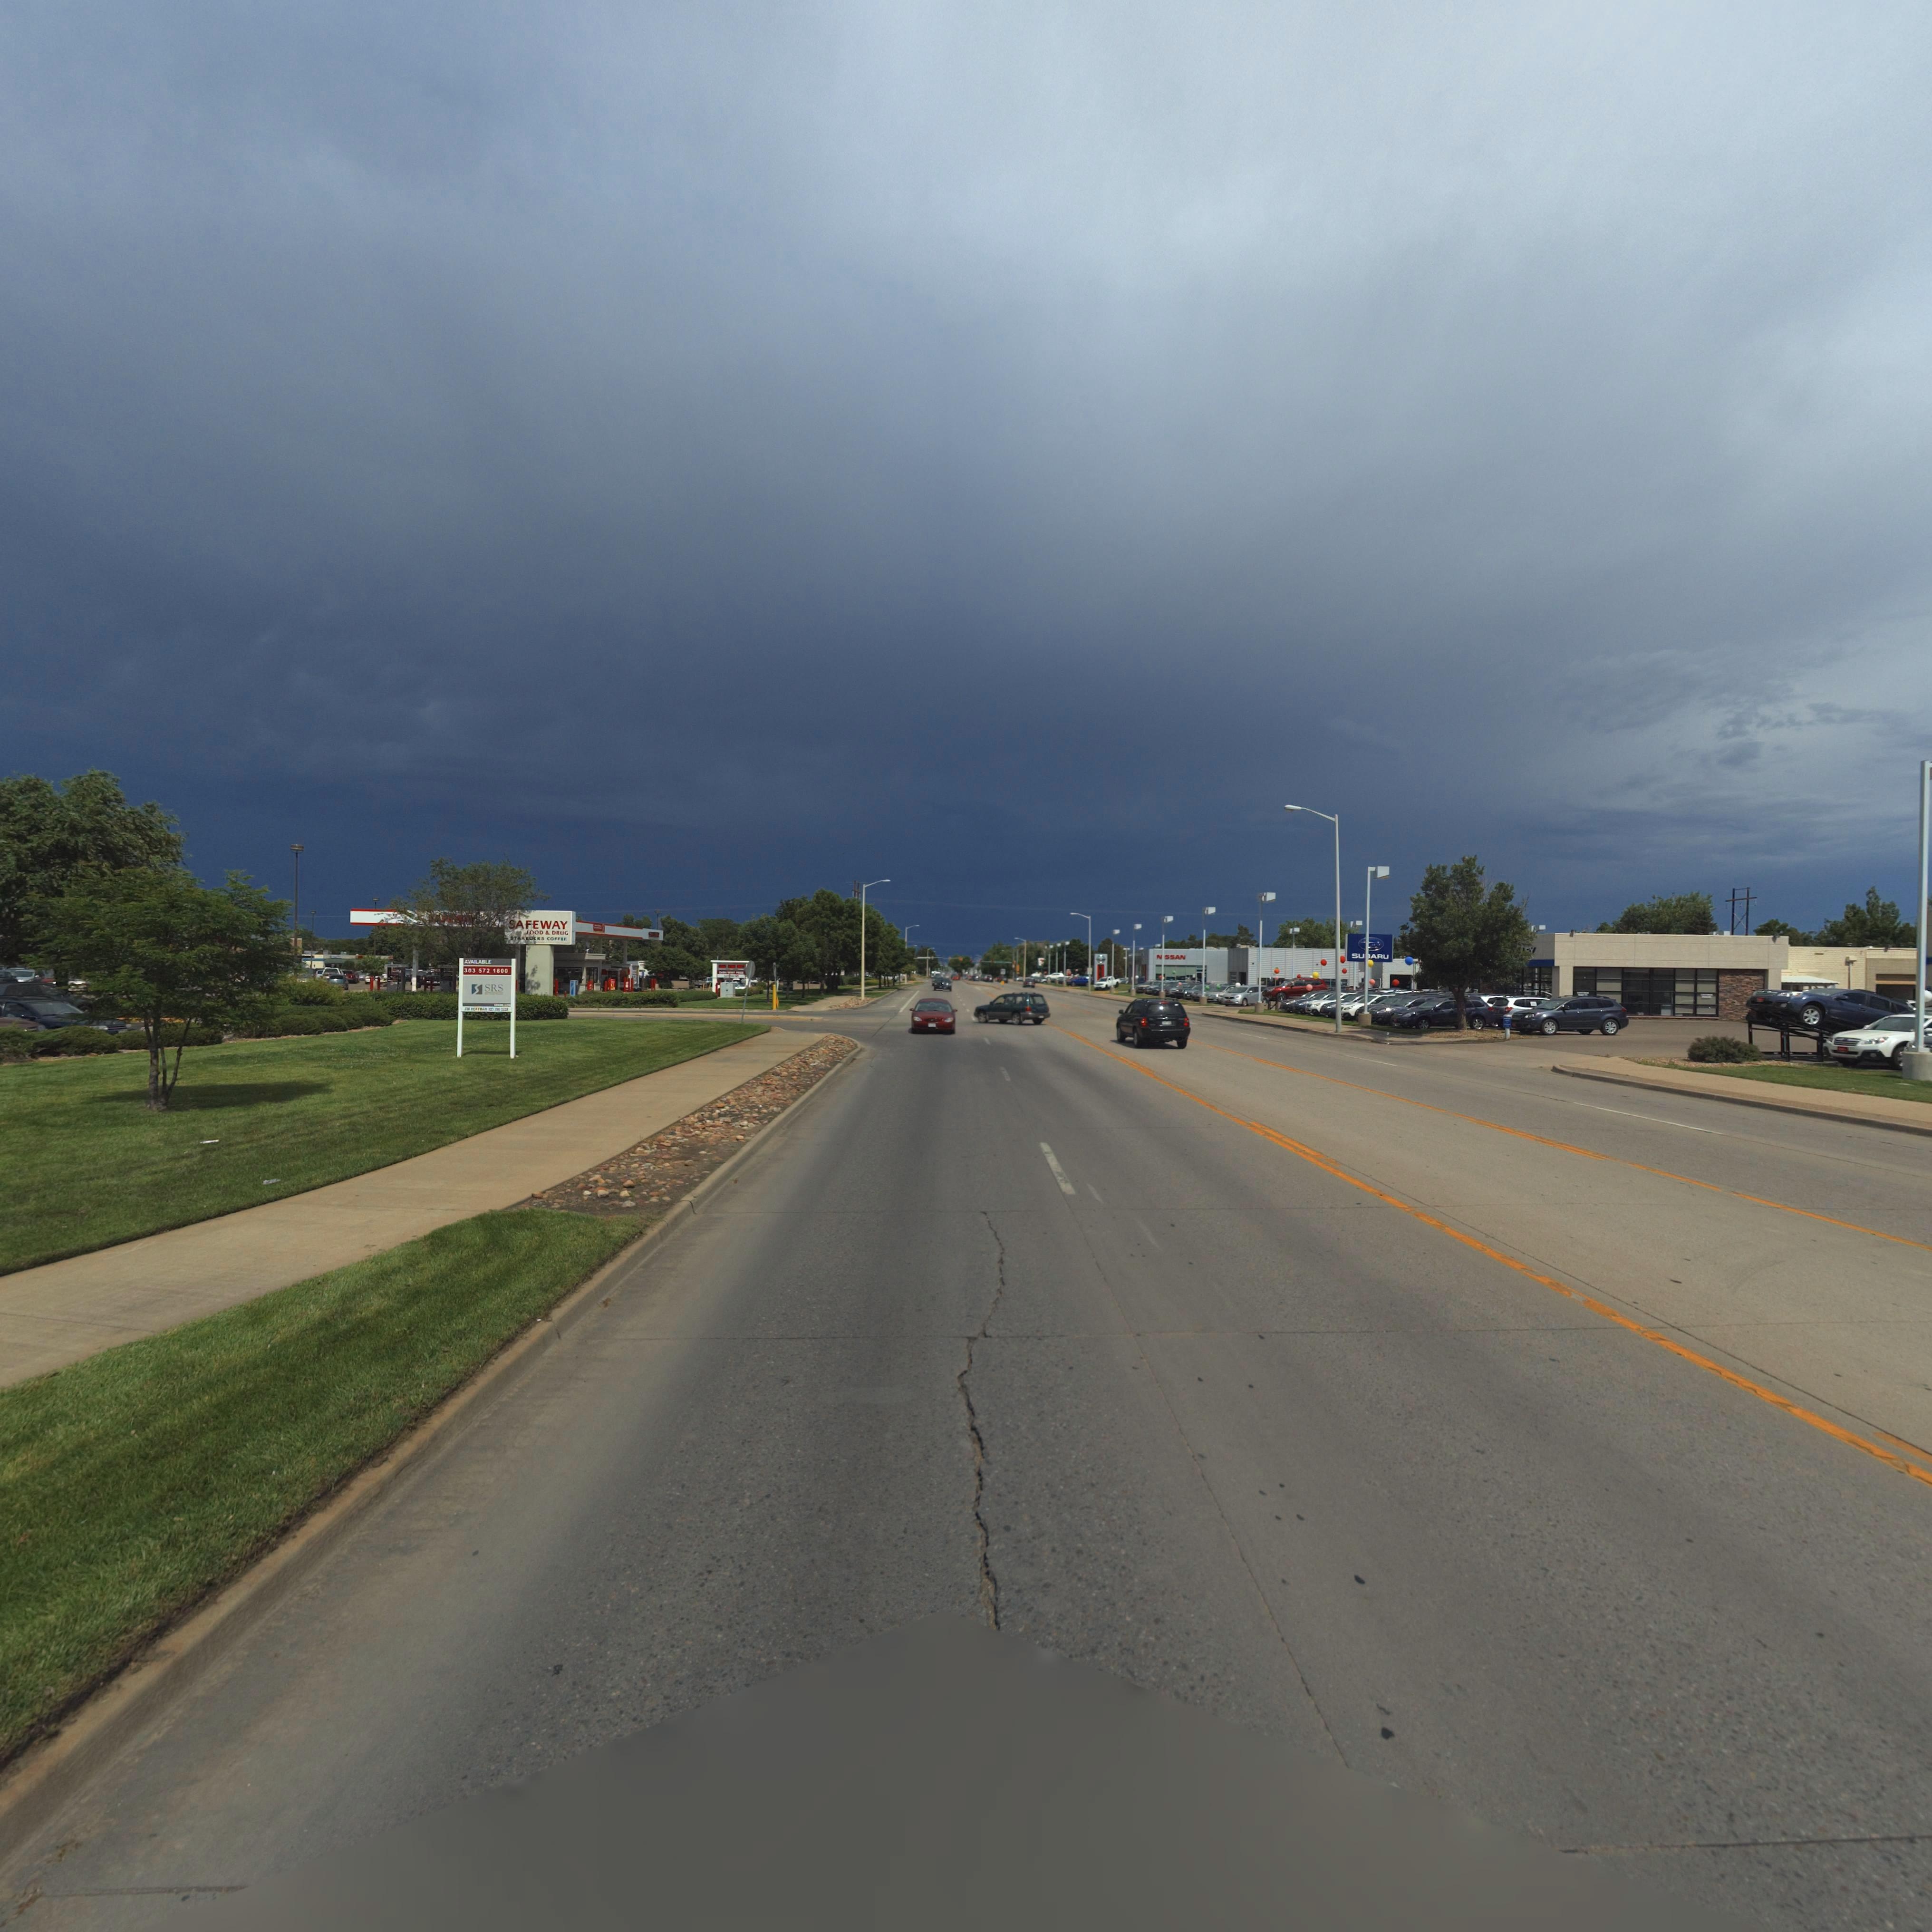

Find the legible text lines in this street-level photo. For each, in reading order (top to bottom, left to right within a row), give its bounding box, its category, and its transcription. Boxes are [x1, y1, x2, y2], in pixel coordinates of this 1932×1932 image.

[508, 919, 568, 929] BusinessName: SAFEWAY
[510, 936, 567, 941] BusinessName: STARBUCKS COFFEE
[1529, 947, 1535, 954] BusinessName: Y
[1156, 954, 1186, 959] BusinessName: N*SSAN
[1351, 953, 1389, 959] BusinessName: SU*ARU
[1040, 959, 1044, 966] BusinessName: 7